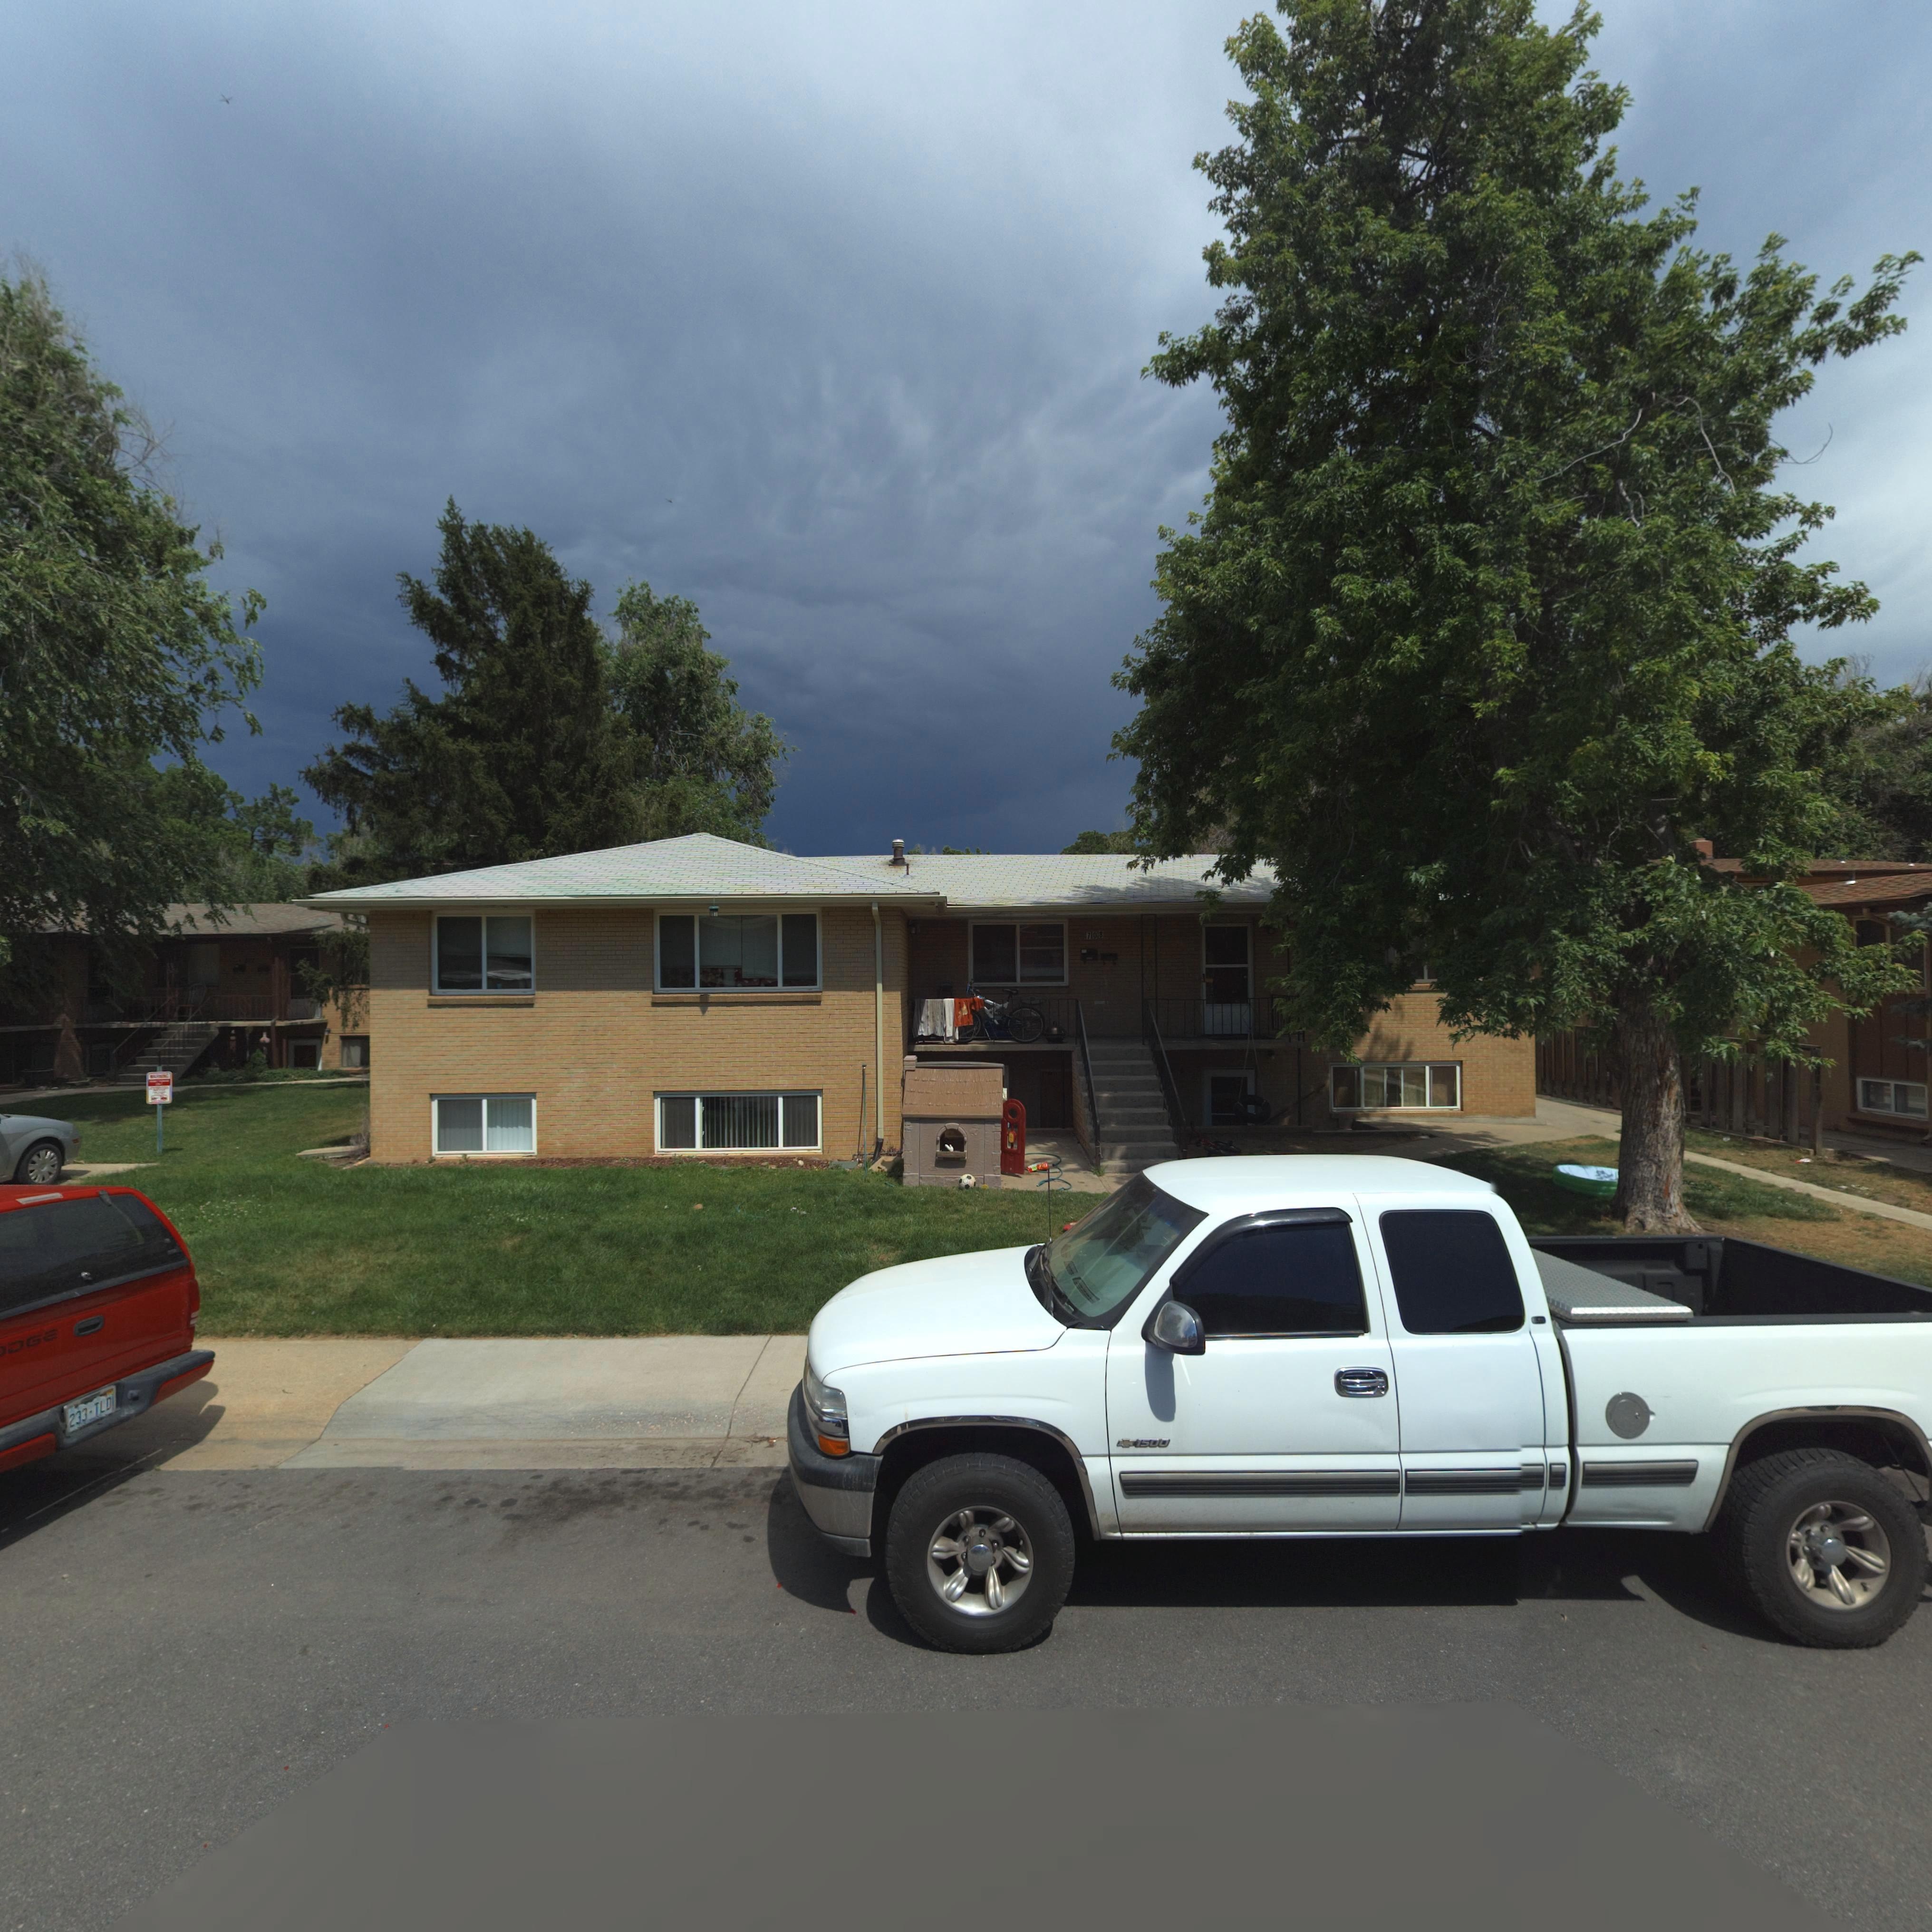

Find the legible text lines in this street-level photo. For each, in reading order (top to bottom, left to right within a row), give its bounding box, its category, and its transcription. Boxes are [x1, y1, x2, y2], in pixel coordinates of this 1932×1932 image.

[1086, 931, 1103, 939] StreetNumber: 708